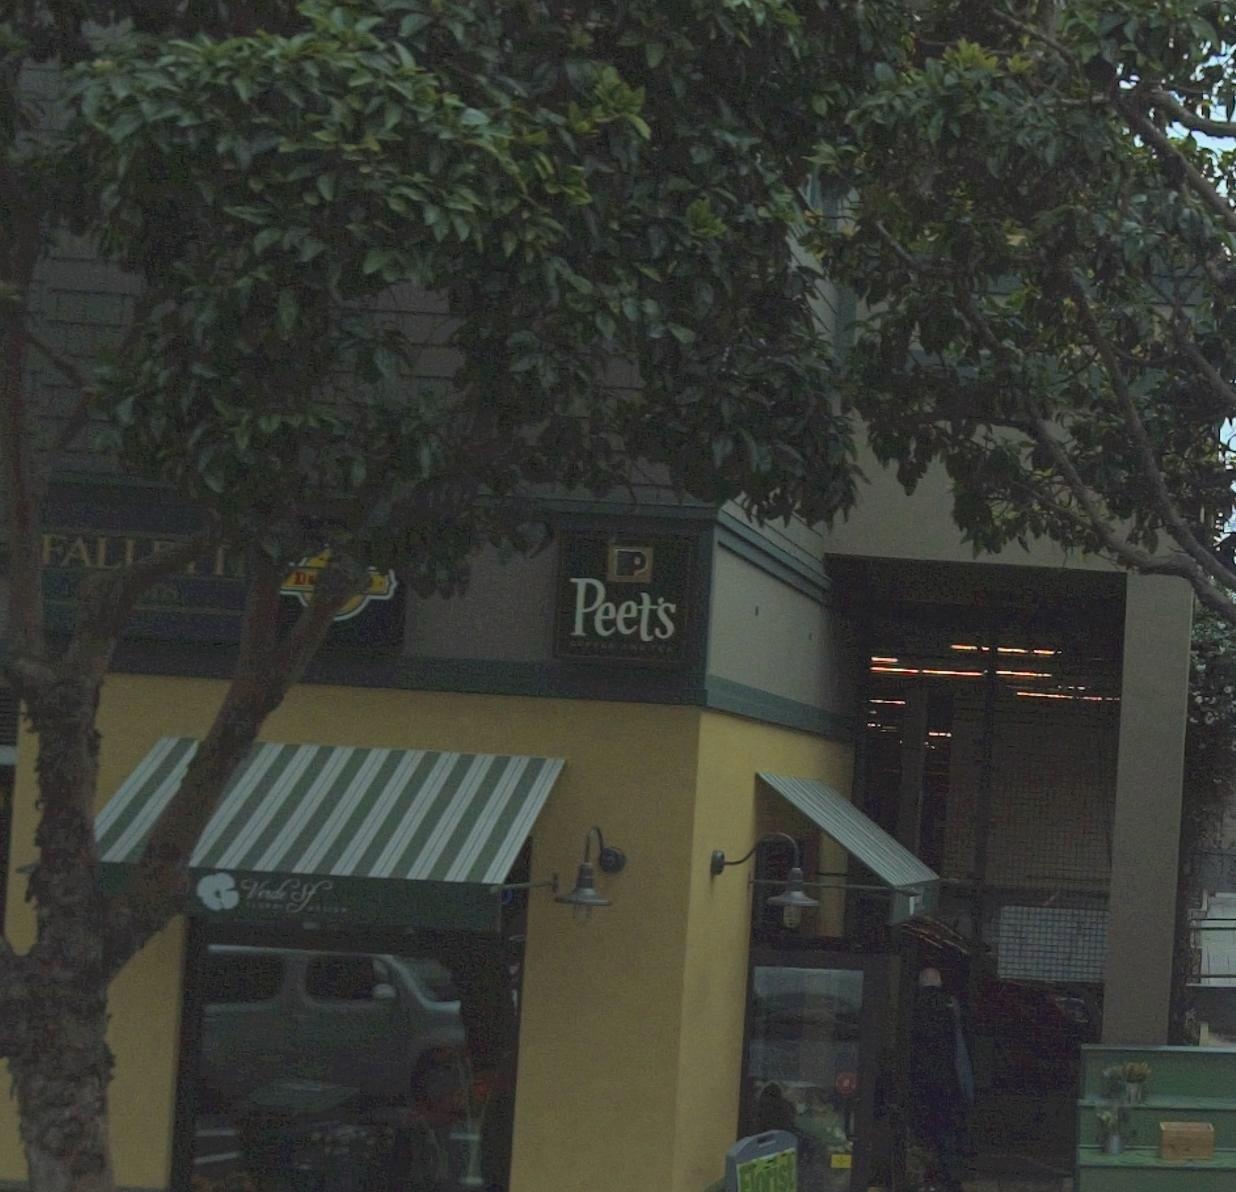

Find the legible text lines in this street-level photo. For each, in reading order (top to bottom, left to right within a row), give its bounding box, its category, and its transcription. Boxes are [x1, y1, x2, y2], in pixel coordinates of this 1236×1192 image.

[39, 531, 124, 572] BusinessName: FAL
[293, 571, 308, 587] None: D
[624, 549, 647, 577] None: P
[569, 577, 679, 644] BusinessName: Pete'sCoffeeandTea
[236, 876, 335, 918] BusinessName: V*d* Sf
[764, 1153, 796, 1192] None: rist